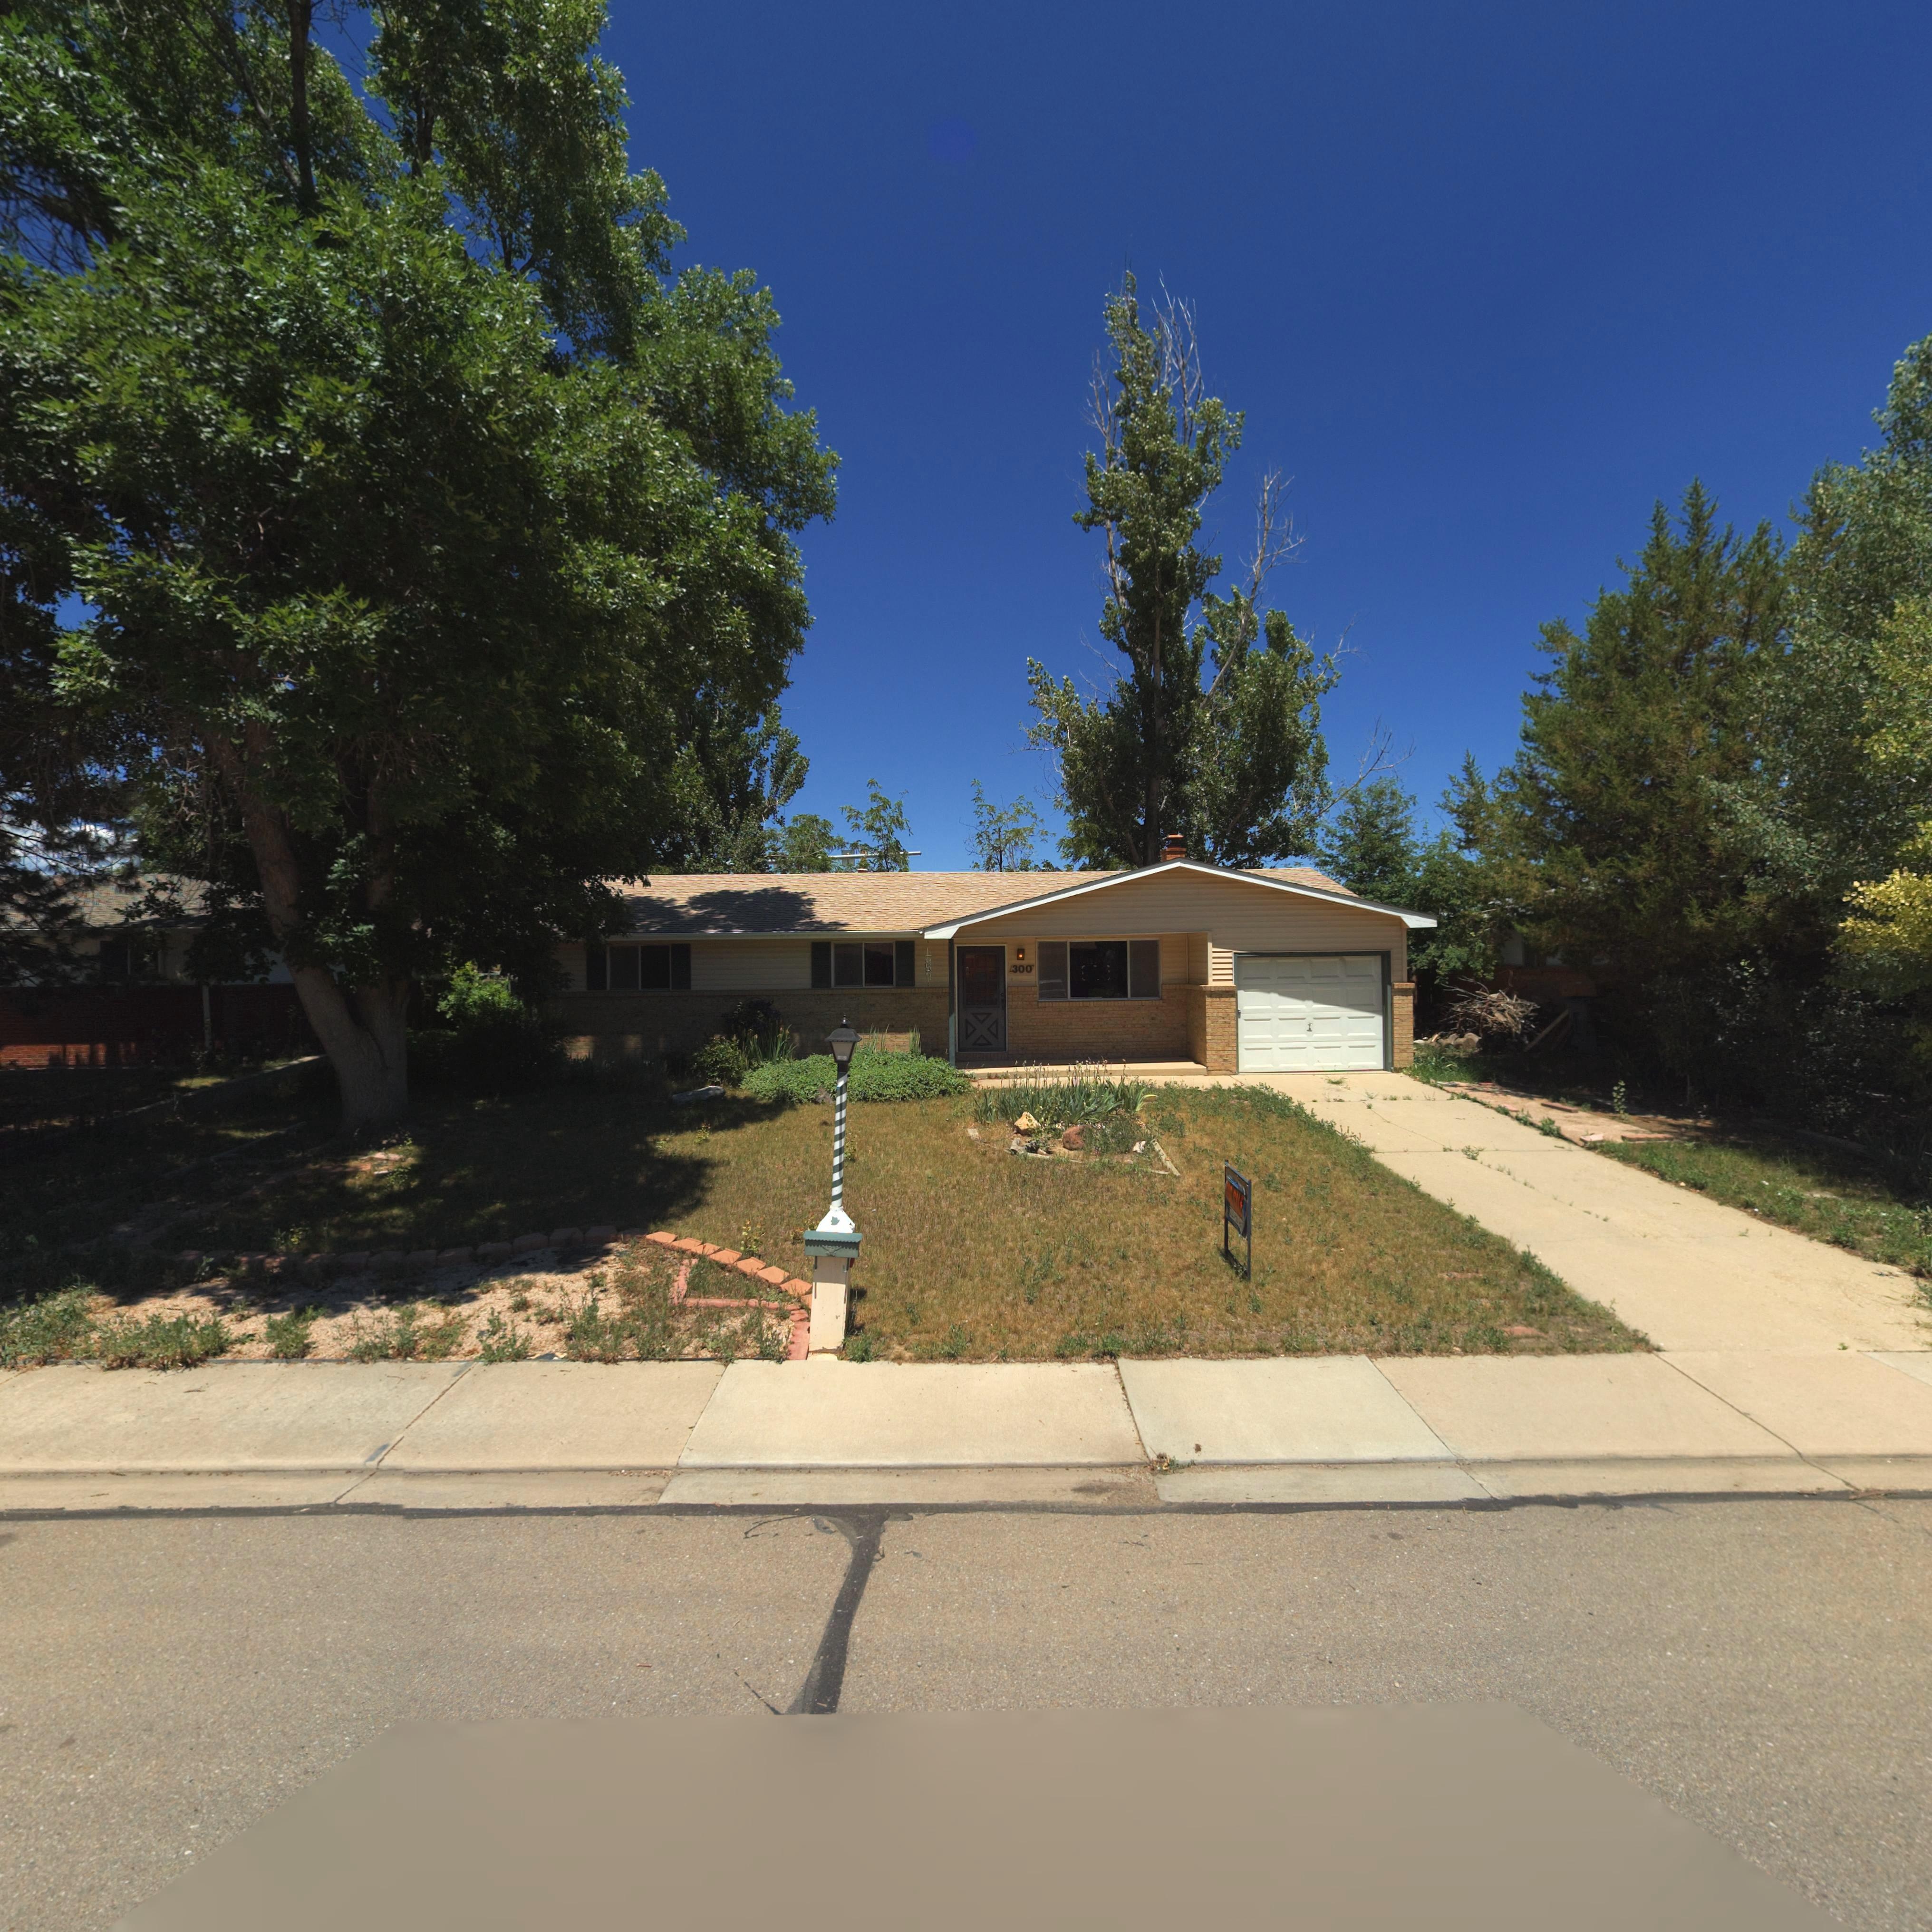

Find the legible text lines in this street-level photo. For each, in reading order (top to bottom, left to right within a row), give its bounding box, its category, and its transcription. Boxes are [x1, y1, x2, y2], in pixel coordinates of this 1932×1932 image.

[1012, 965, 1032, 973] StreetNumber: 300